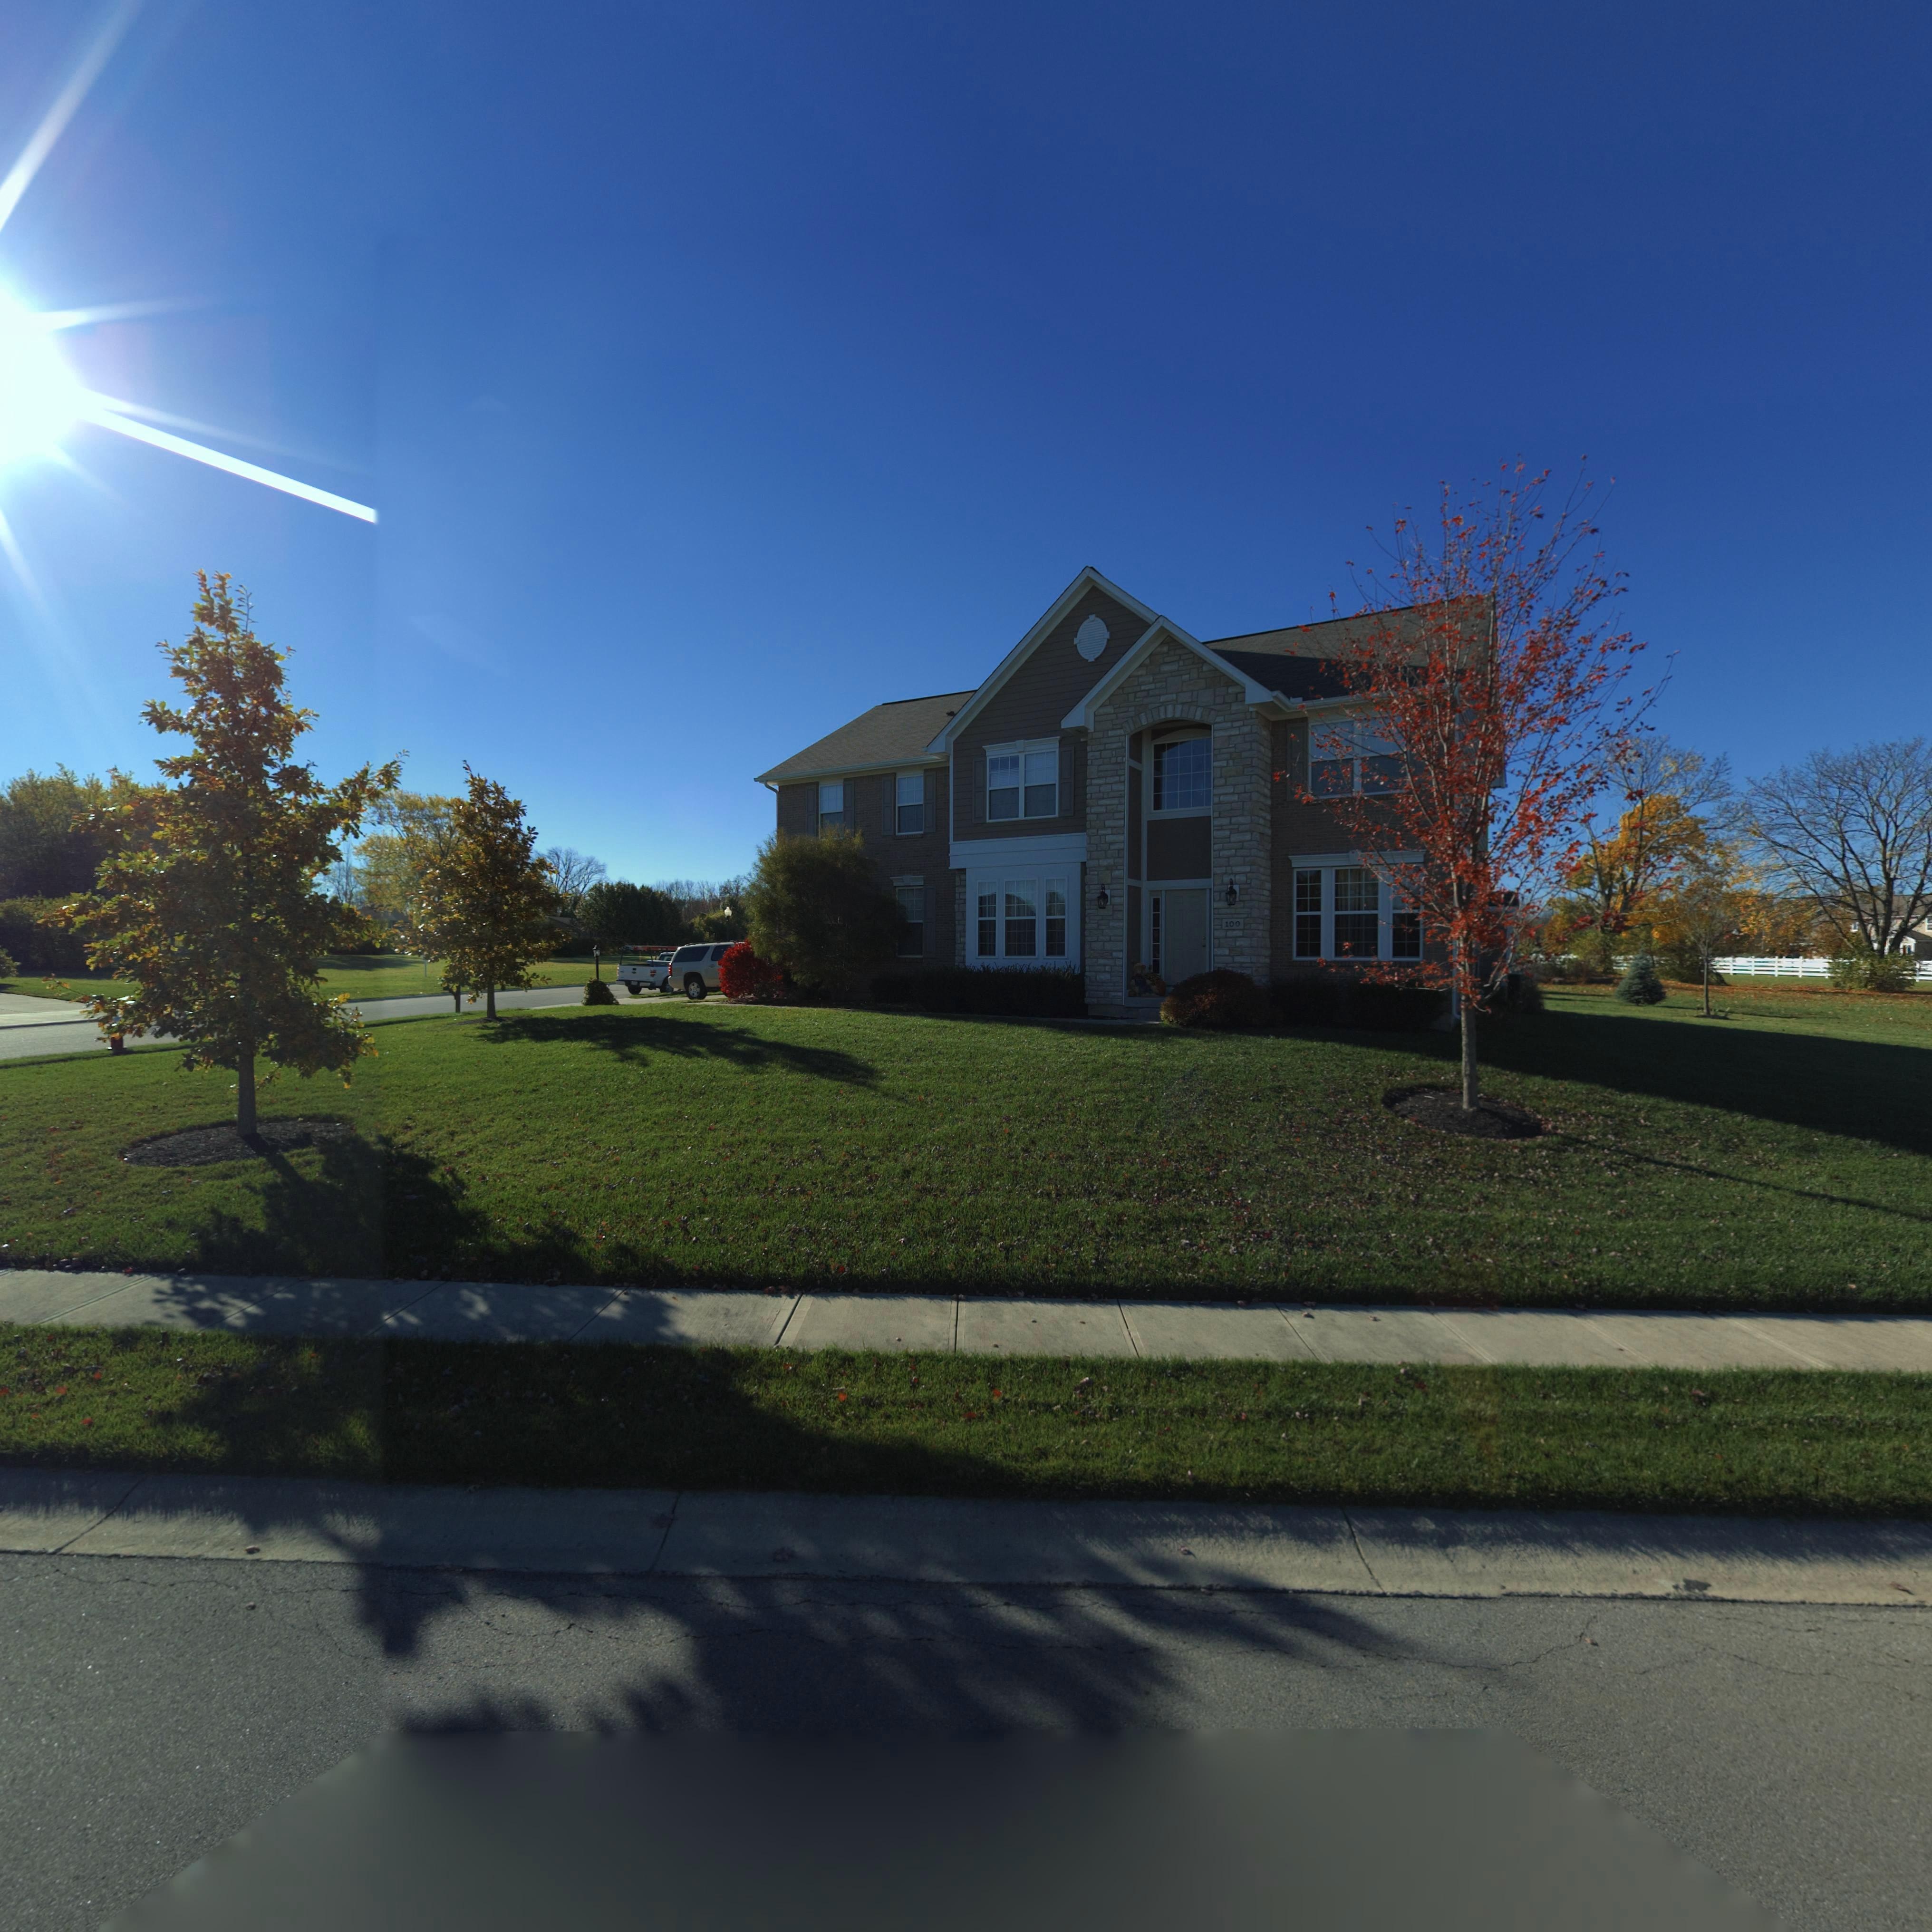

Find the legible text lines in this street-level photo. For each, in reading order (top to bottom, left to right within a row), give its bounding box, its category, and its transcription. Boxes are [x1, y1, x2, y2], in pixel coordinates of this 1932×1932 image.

[1224, 920, 1241, 928] StreetNumber: 100